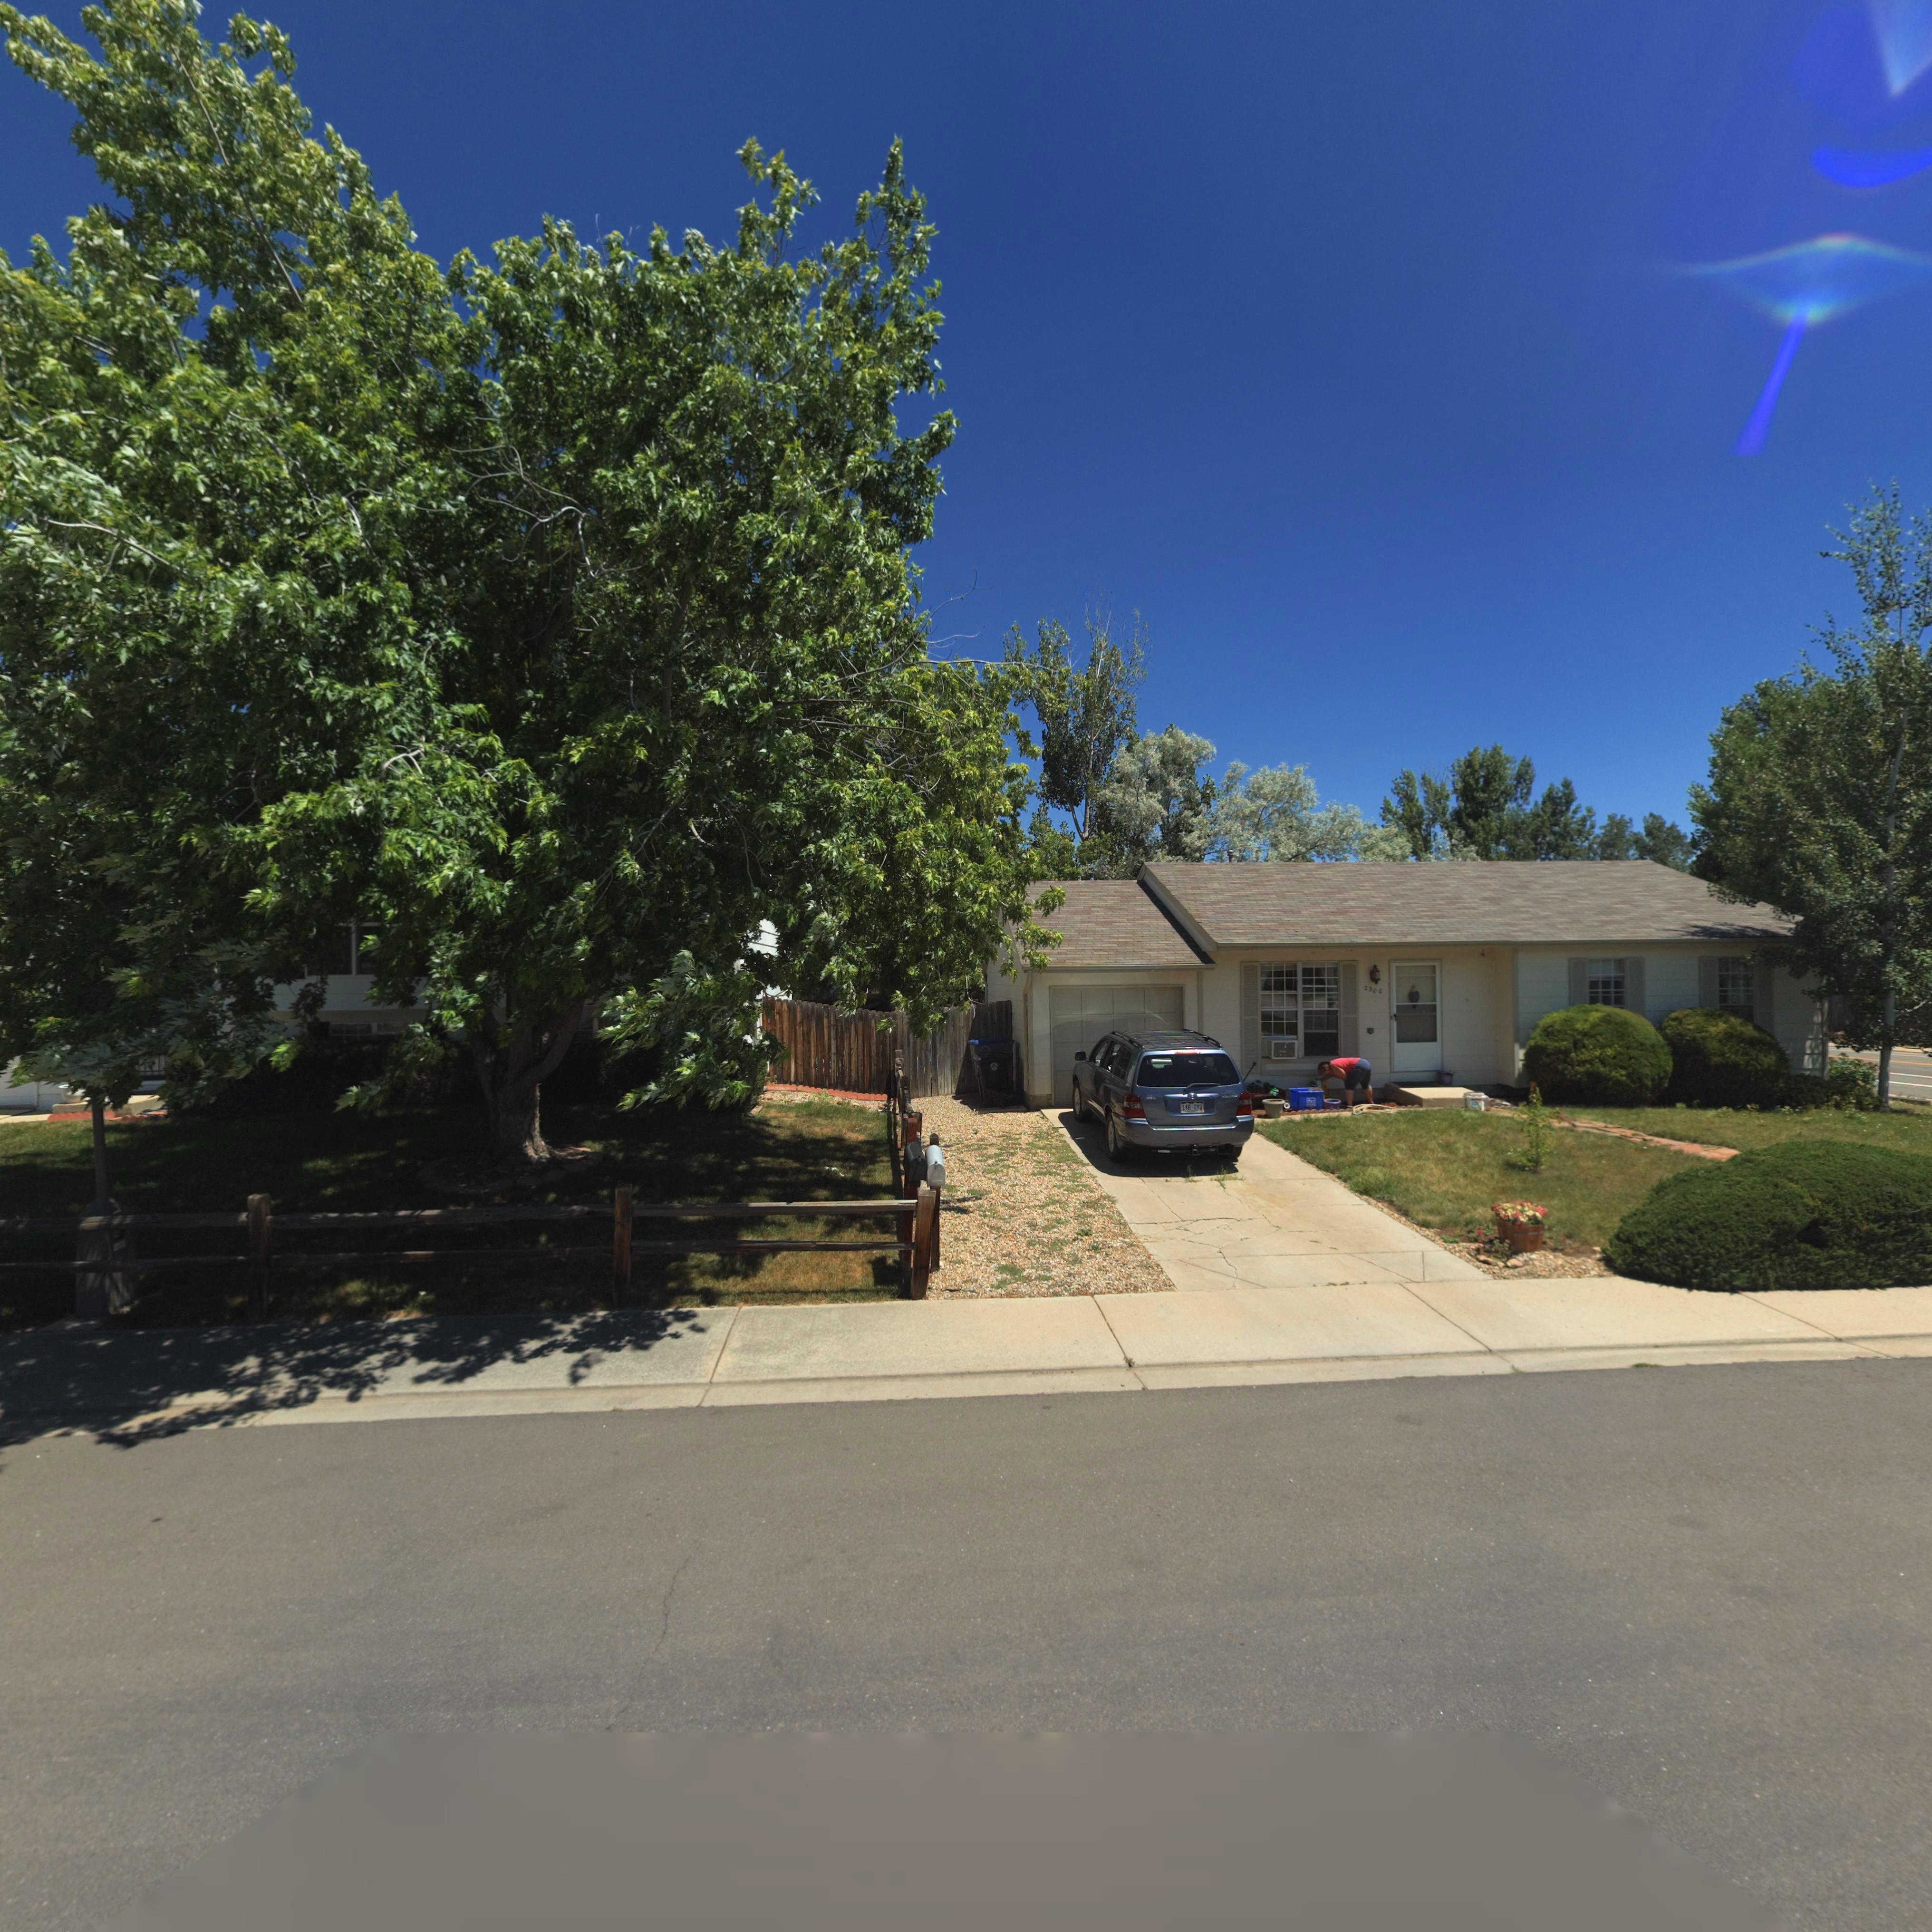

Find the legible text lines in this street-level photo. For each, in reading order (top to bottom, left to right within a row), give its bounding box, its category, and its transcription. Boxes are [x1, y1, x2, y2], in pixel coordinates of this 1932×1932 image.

[1363, 985, 1383, 994] StreetNumber: 2300